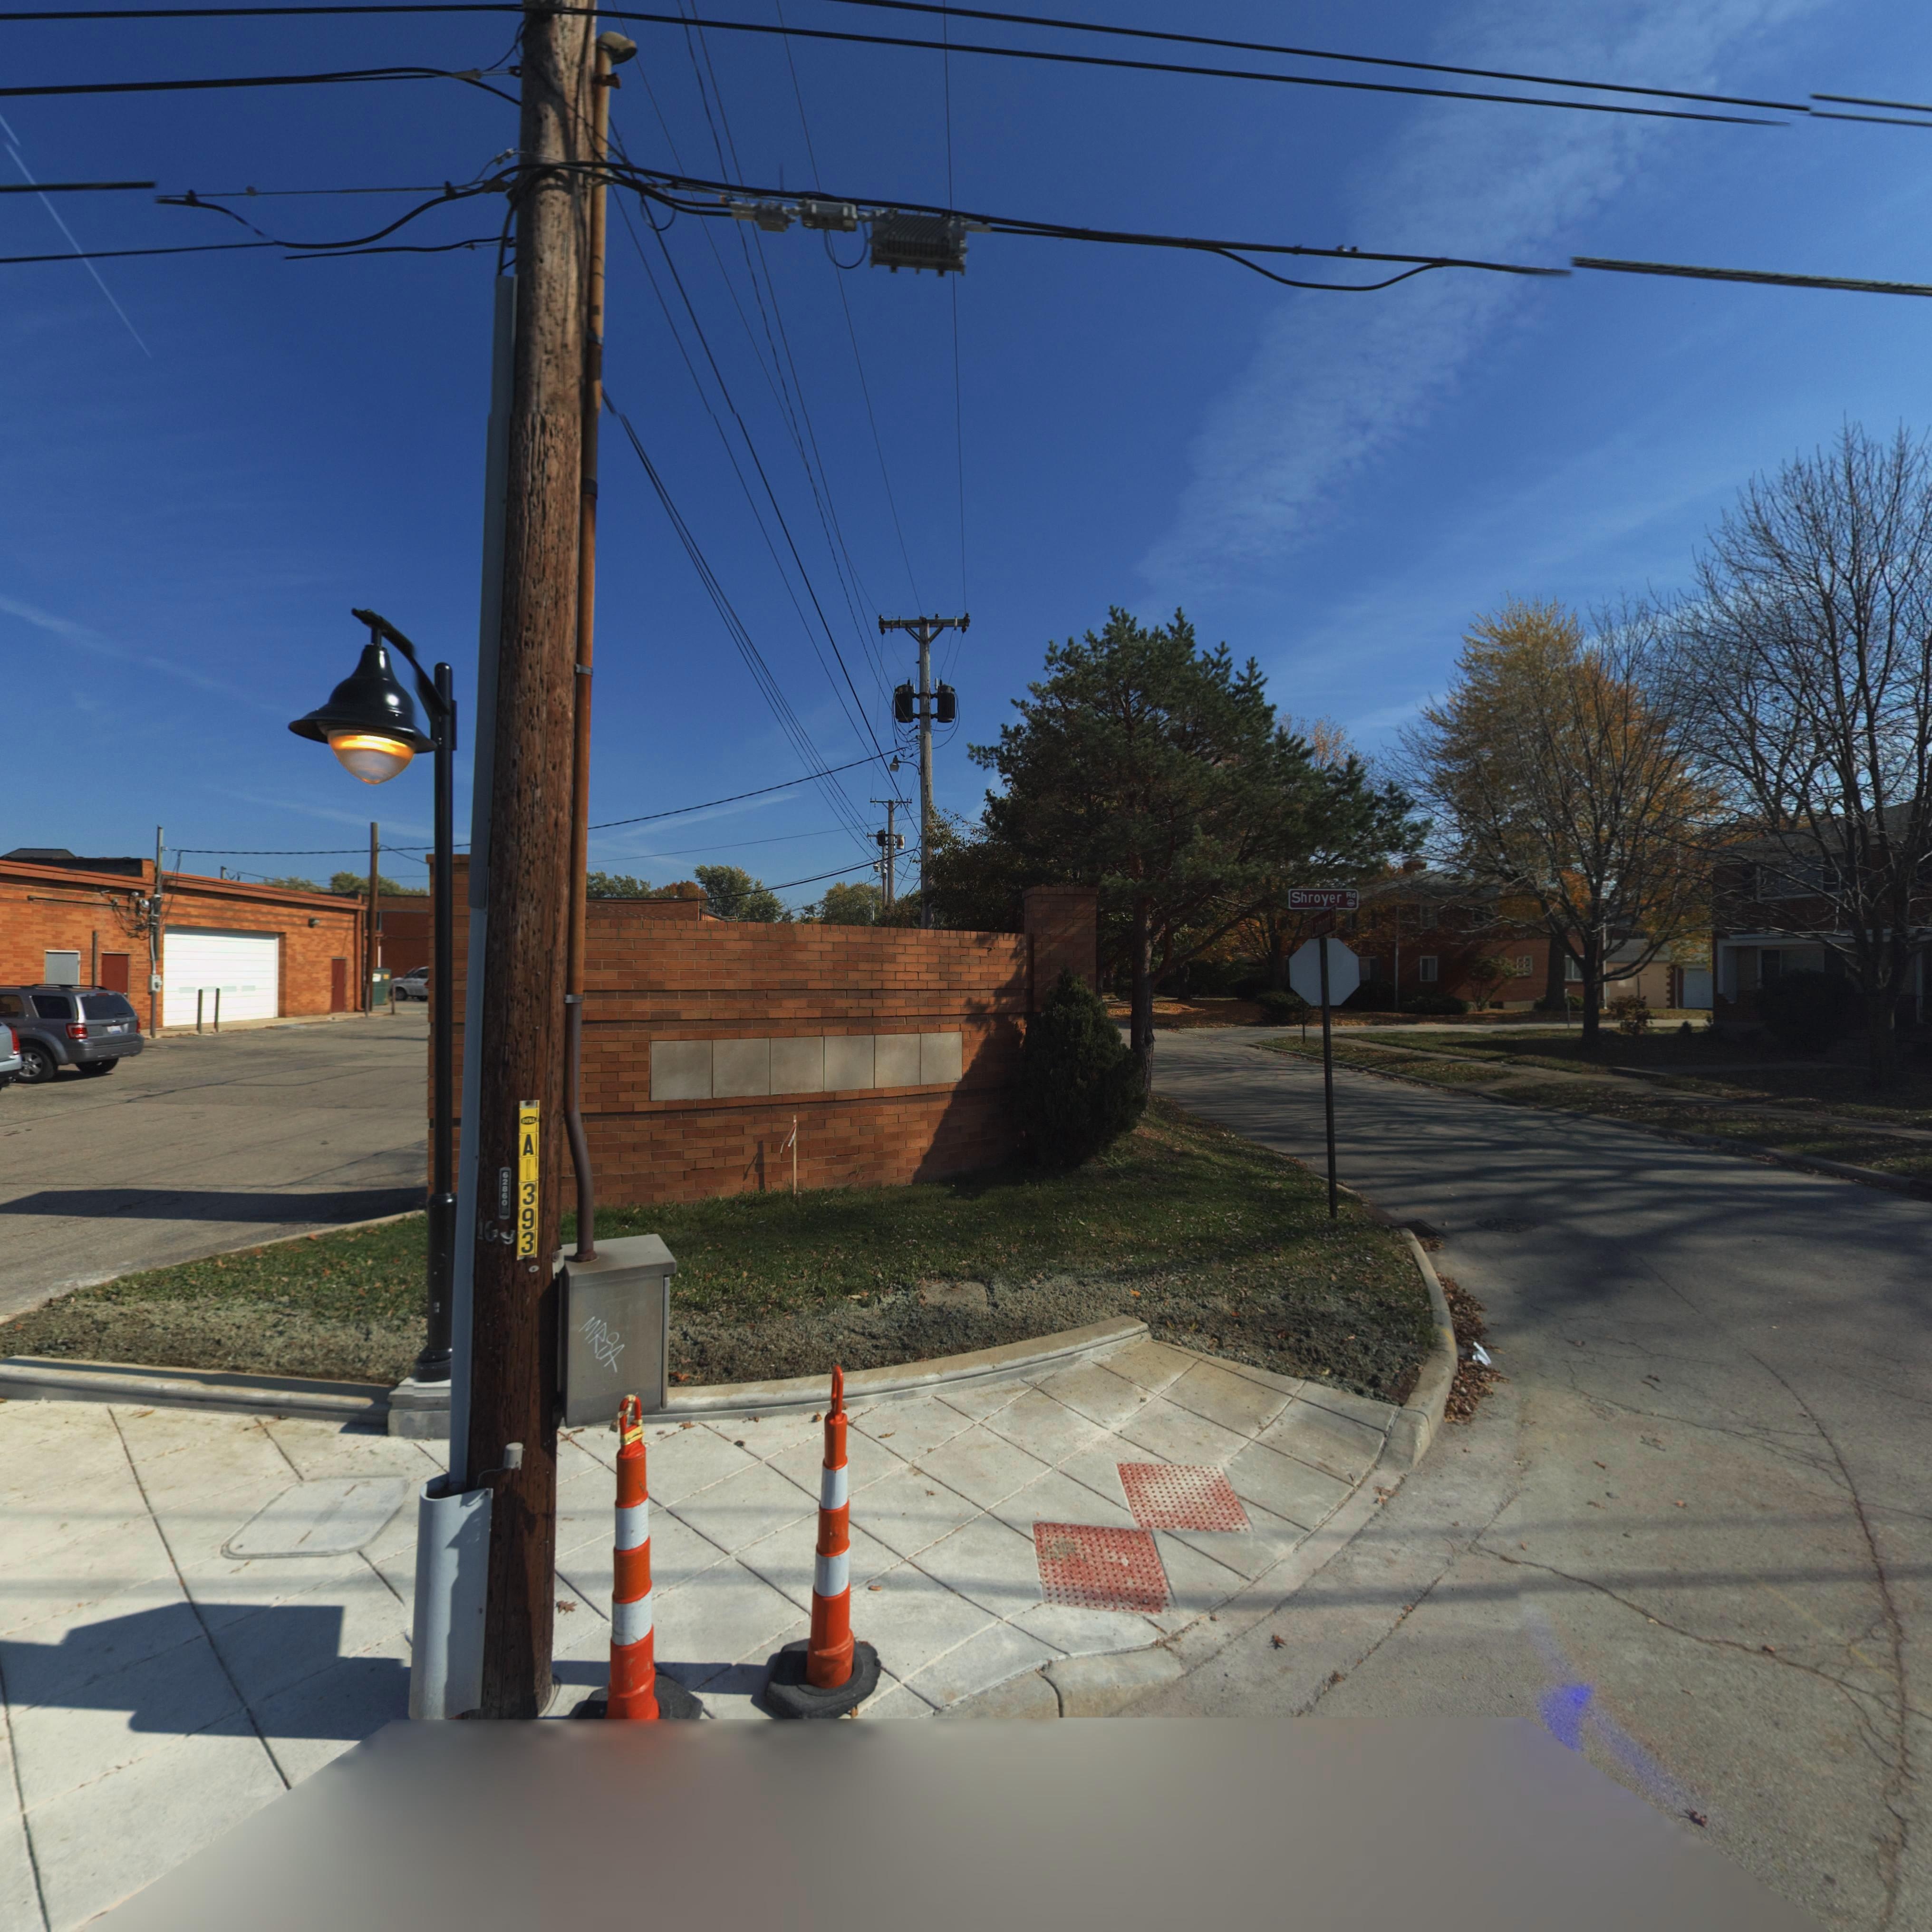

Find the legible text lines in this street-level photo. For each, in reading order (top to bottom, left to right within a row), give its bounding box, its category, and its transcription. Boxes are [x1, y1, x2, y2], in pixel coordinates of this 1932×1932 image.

[1291, 891, 1356, 907] StreetName: Shroyer Rd
[1311, 908, 1336, 939] StreetName: La*ont Dr
[500, 1170, 510, 1207] None: 62860
[518, 1132, 539, 1256] None: A 393
[476, 1215, 484, 1241] None: 1